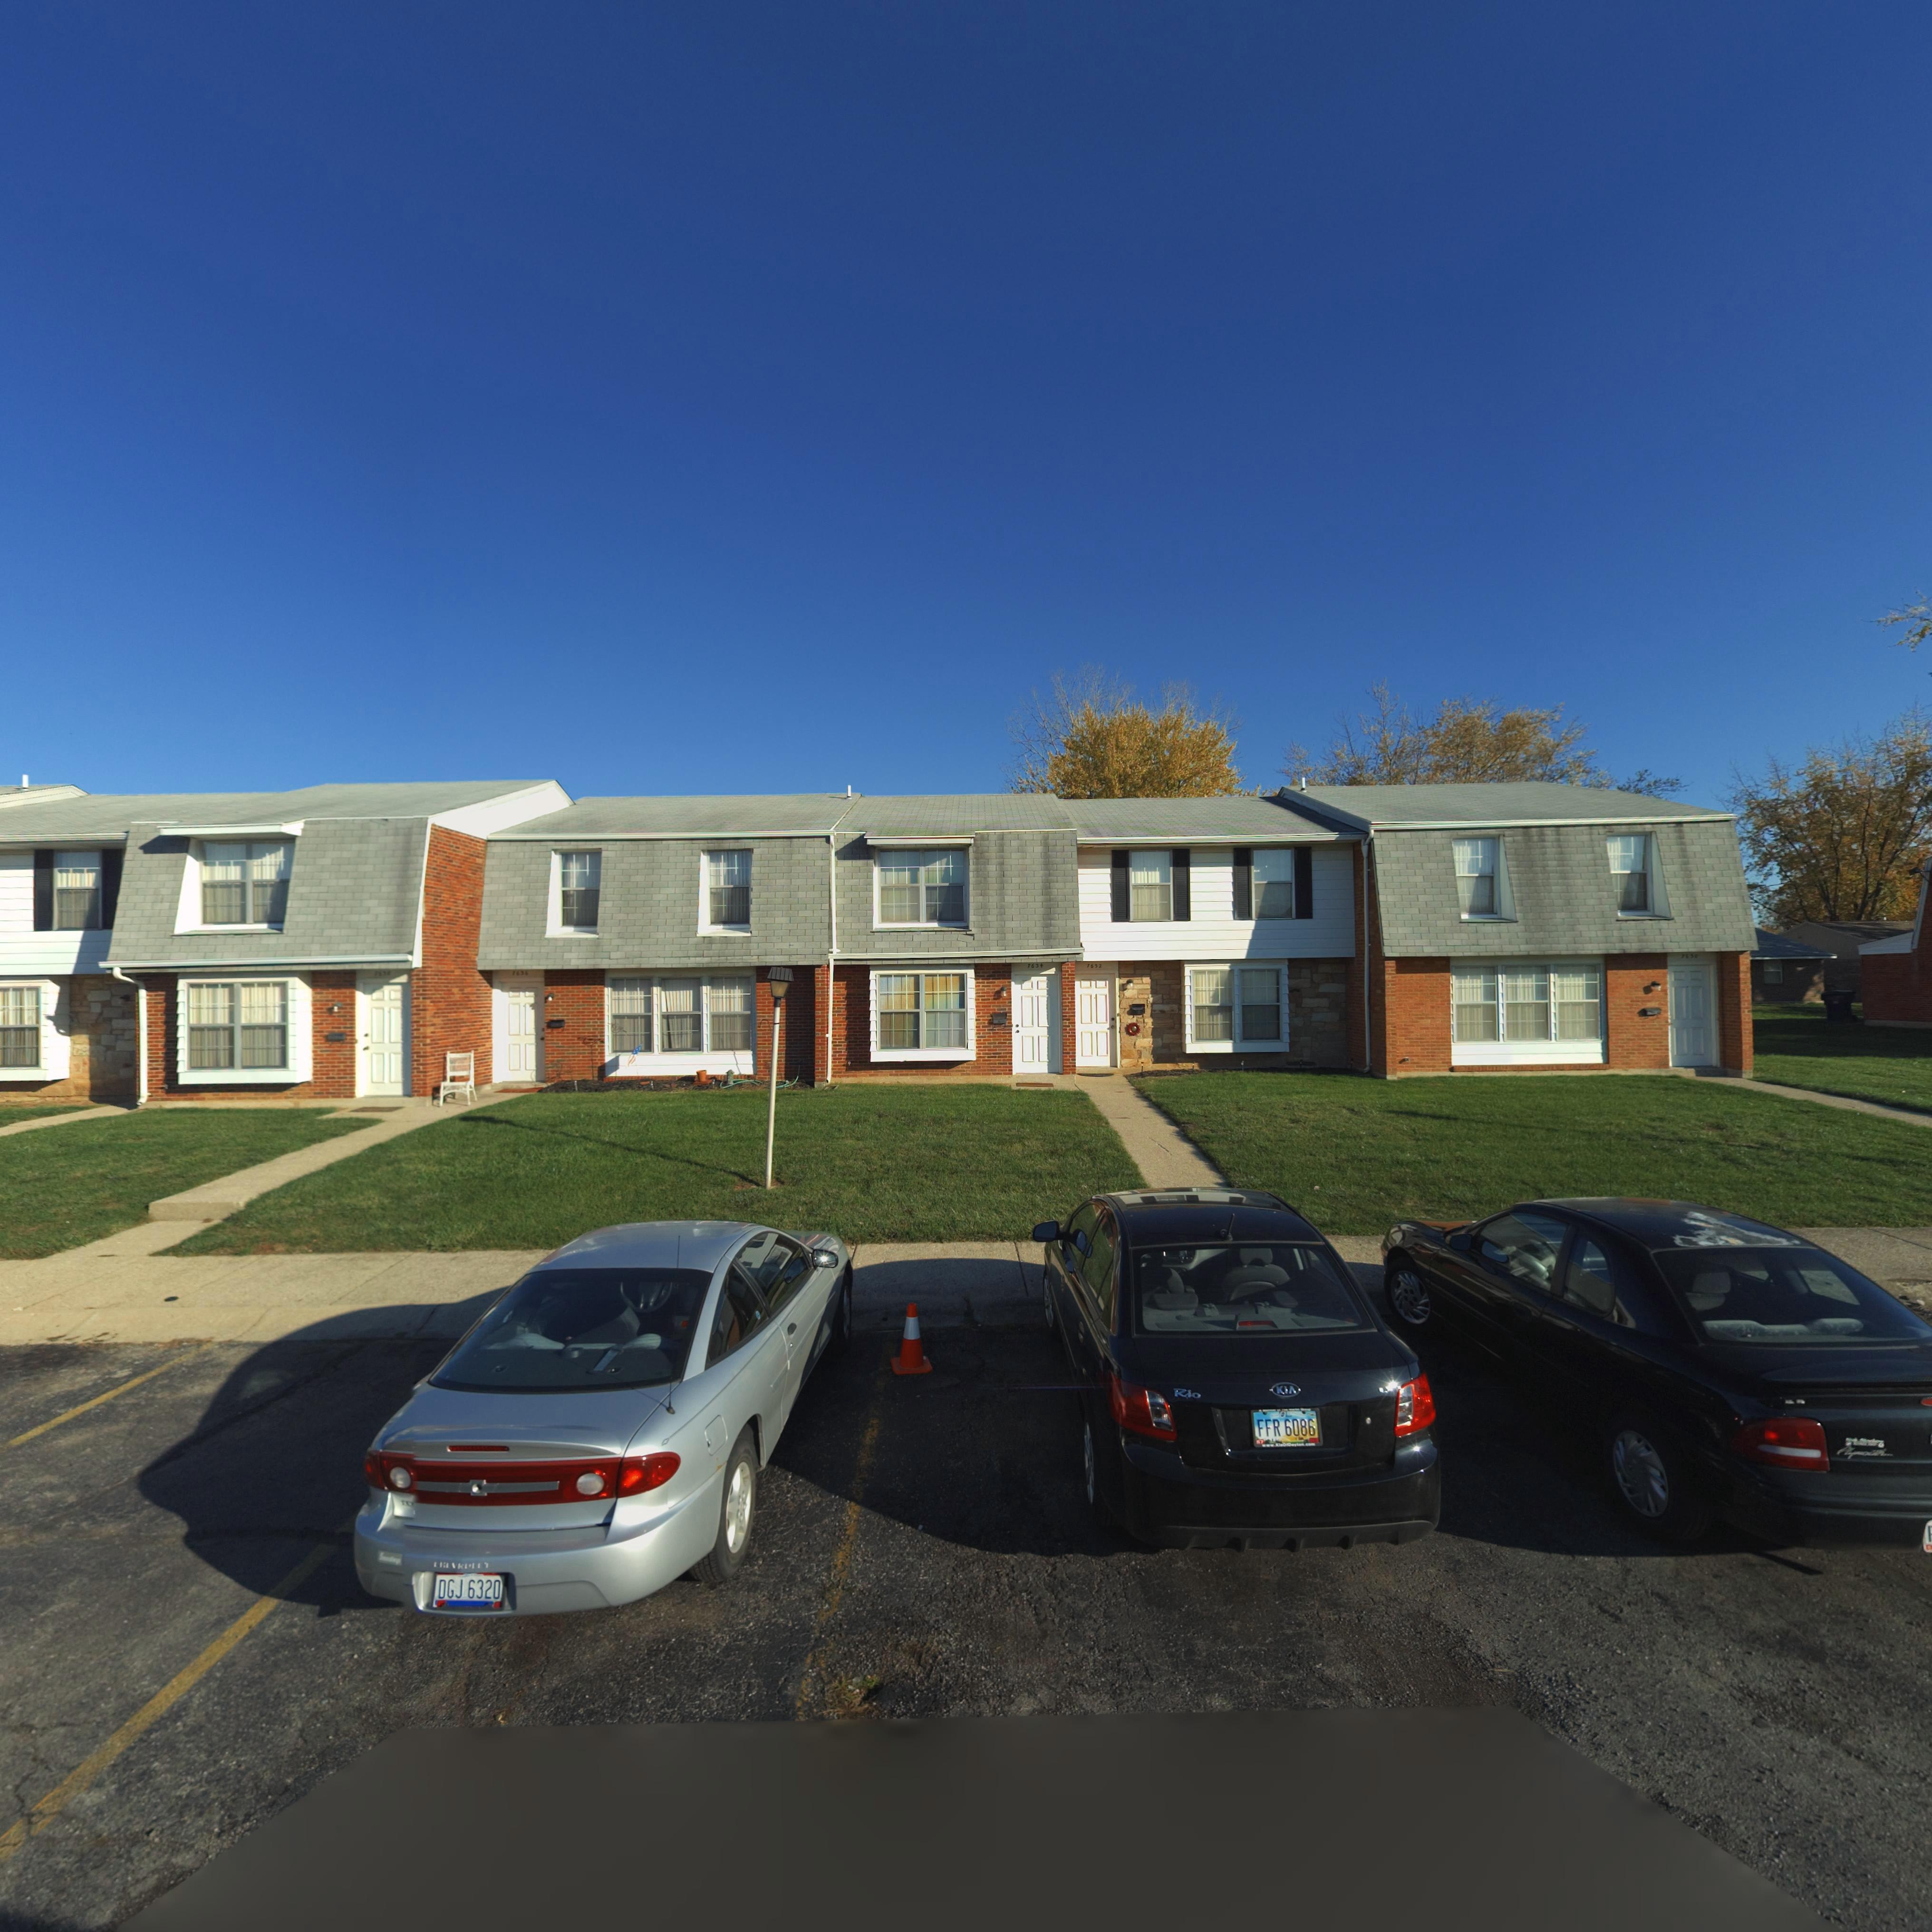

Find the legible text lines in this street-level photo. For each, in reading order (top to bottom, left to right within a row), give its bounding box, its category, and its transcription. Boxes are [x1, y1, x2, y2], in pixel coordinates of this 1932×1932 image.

[1680, 953, 1699, 959] StreetNumber: 7630
[1027, 963, 1043, 969] StreetNumber: 7634
[1087, 963, 1102, 968] StreetNumber: 7632
[373, 970, 392, 976] StreetNumber: 7638
[511, 969, 529, 976] StreetNumber: 7636